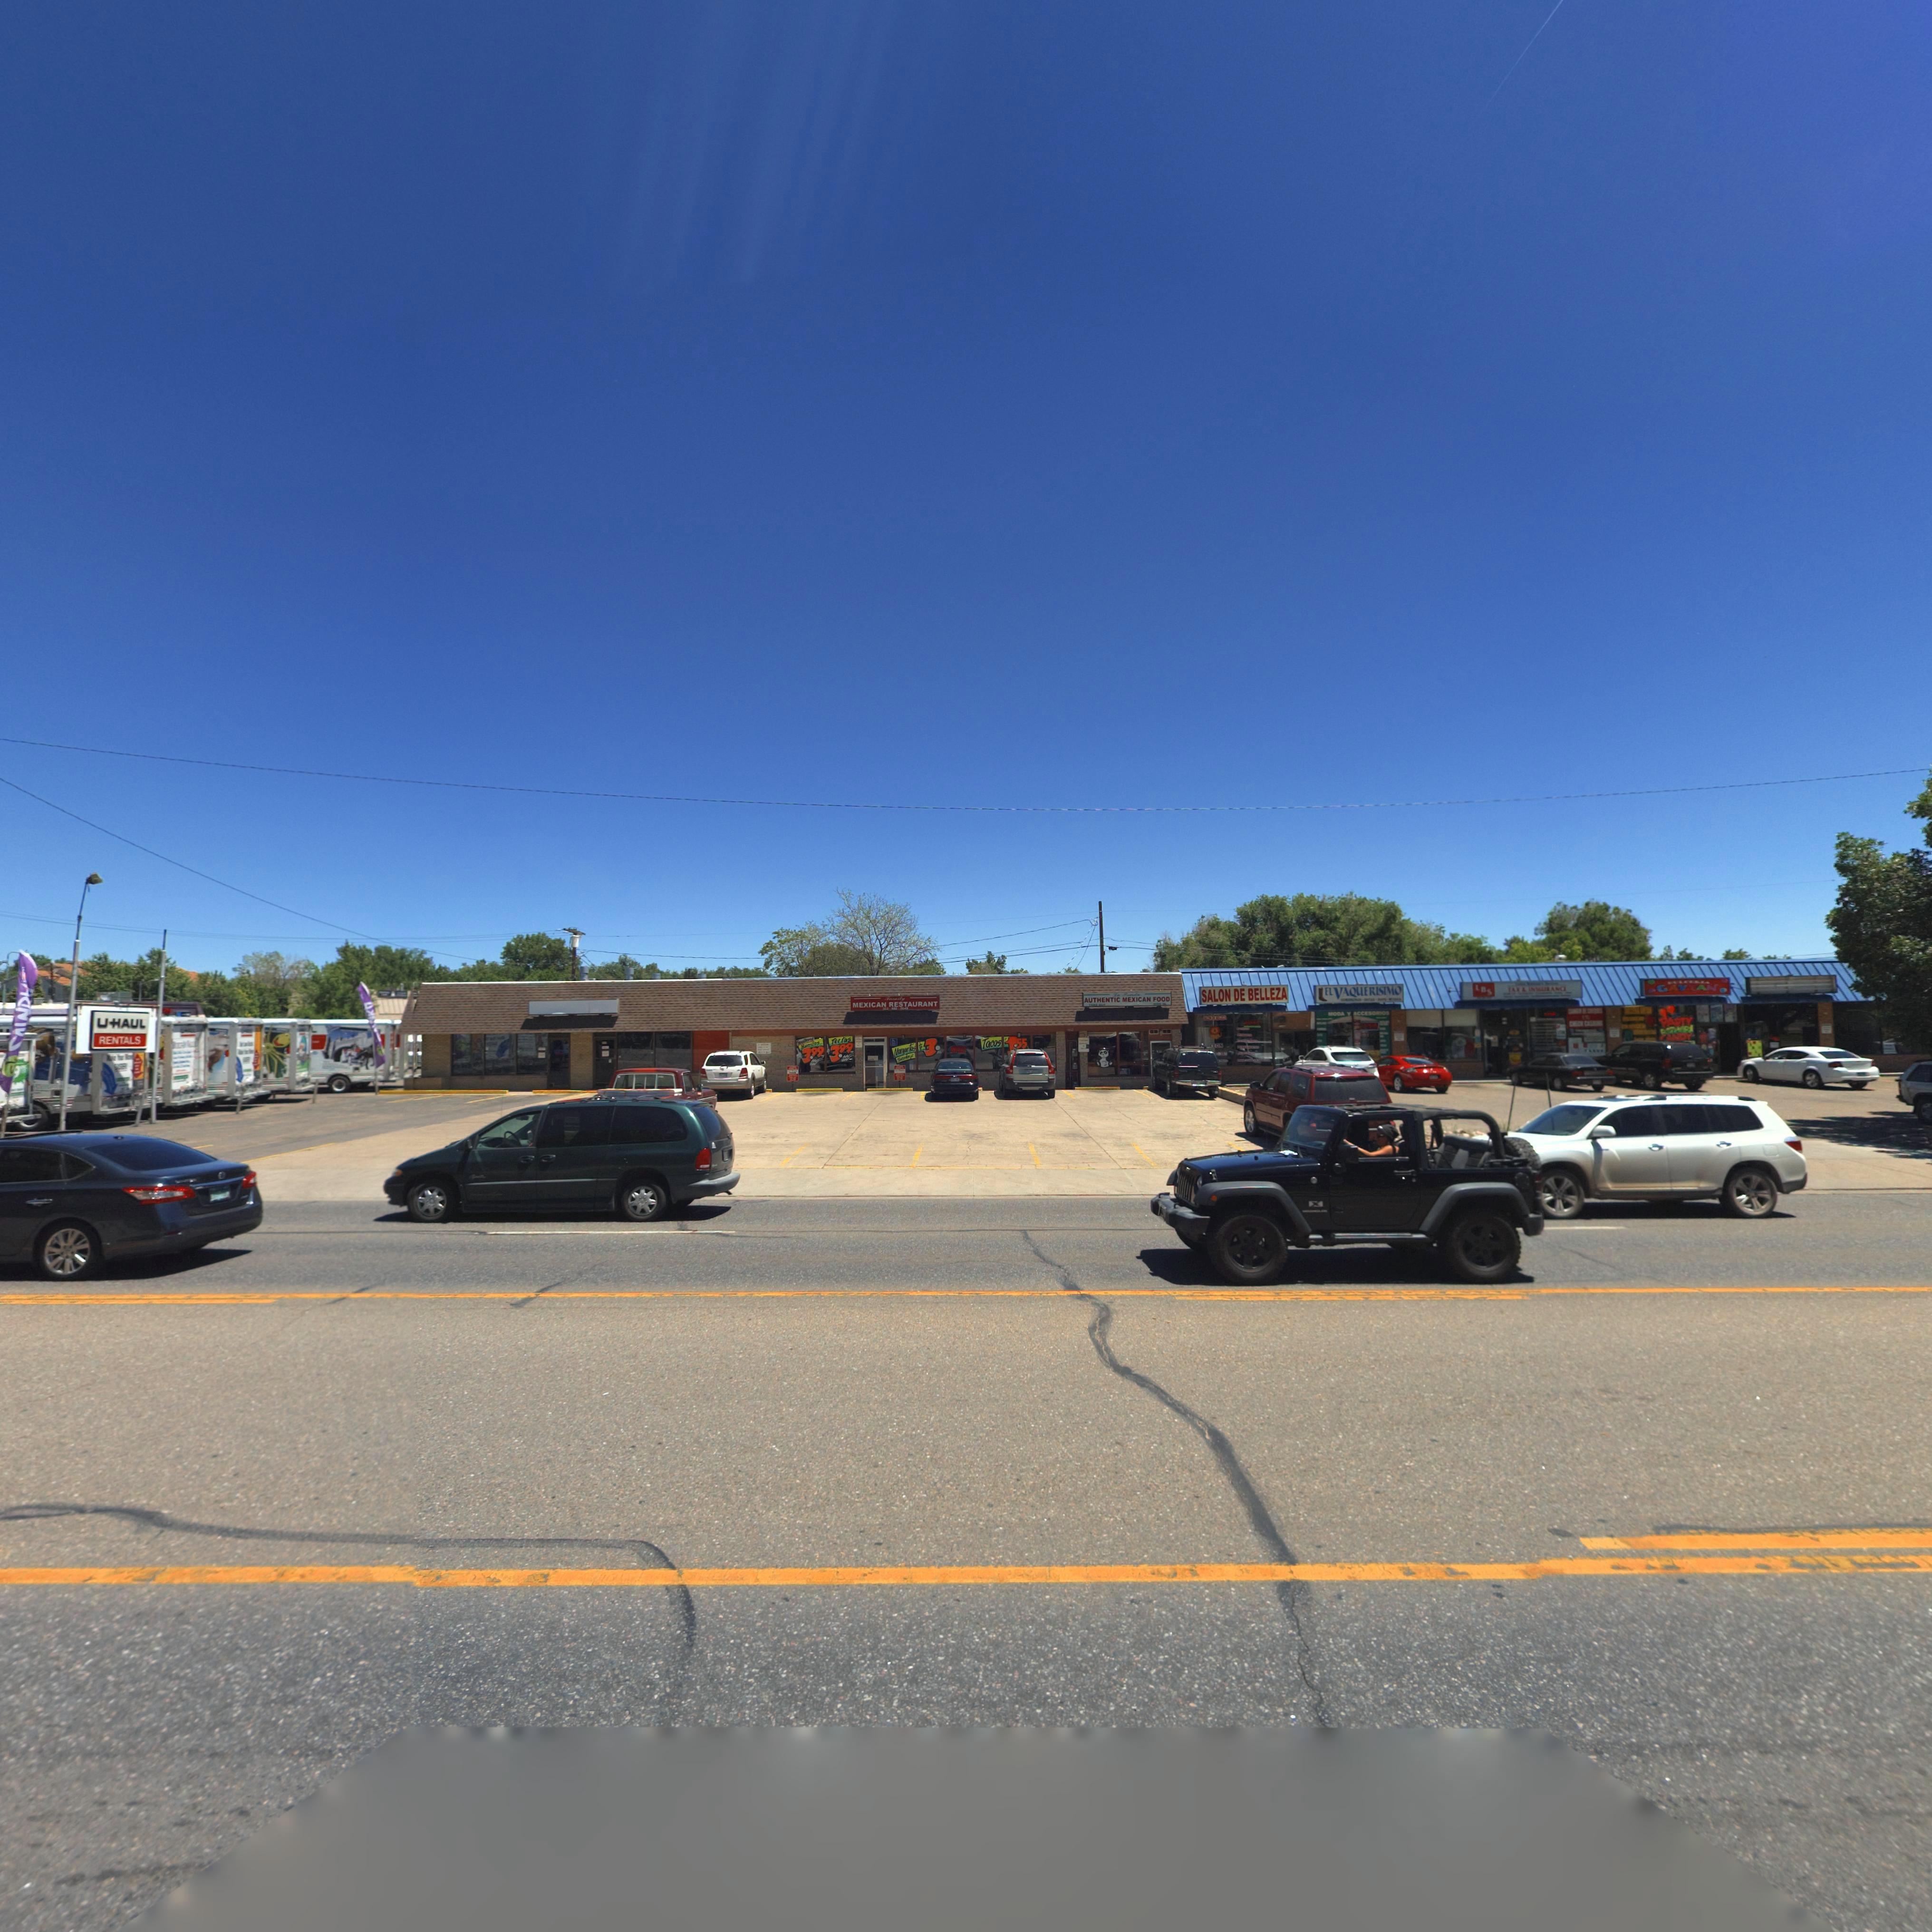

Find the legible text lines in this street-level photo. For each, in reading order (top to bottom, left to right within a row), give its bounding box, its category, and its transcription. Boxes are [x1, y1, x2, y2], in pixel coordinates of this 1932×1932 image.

[1112, 992, 1139, 996] BusinessName: In ****d
[1201, 987, 1287, 1003] BusinessName: SALON DE BELLEZA
[1324, 985, 1402, 1000] BusinessName: EL VAQUERISIMO
[1475, 984, 1493, 996] BusinessName: LBS
[1656, 983, 1719, 992] BusinessName: GA**N